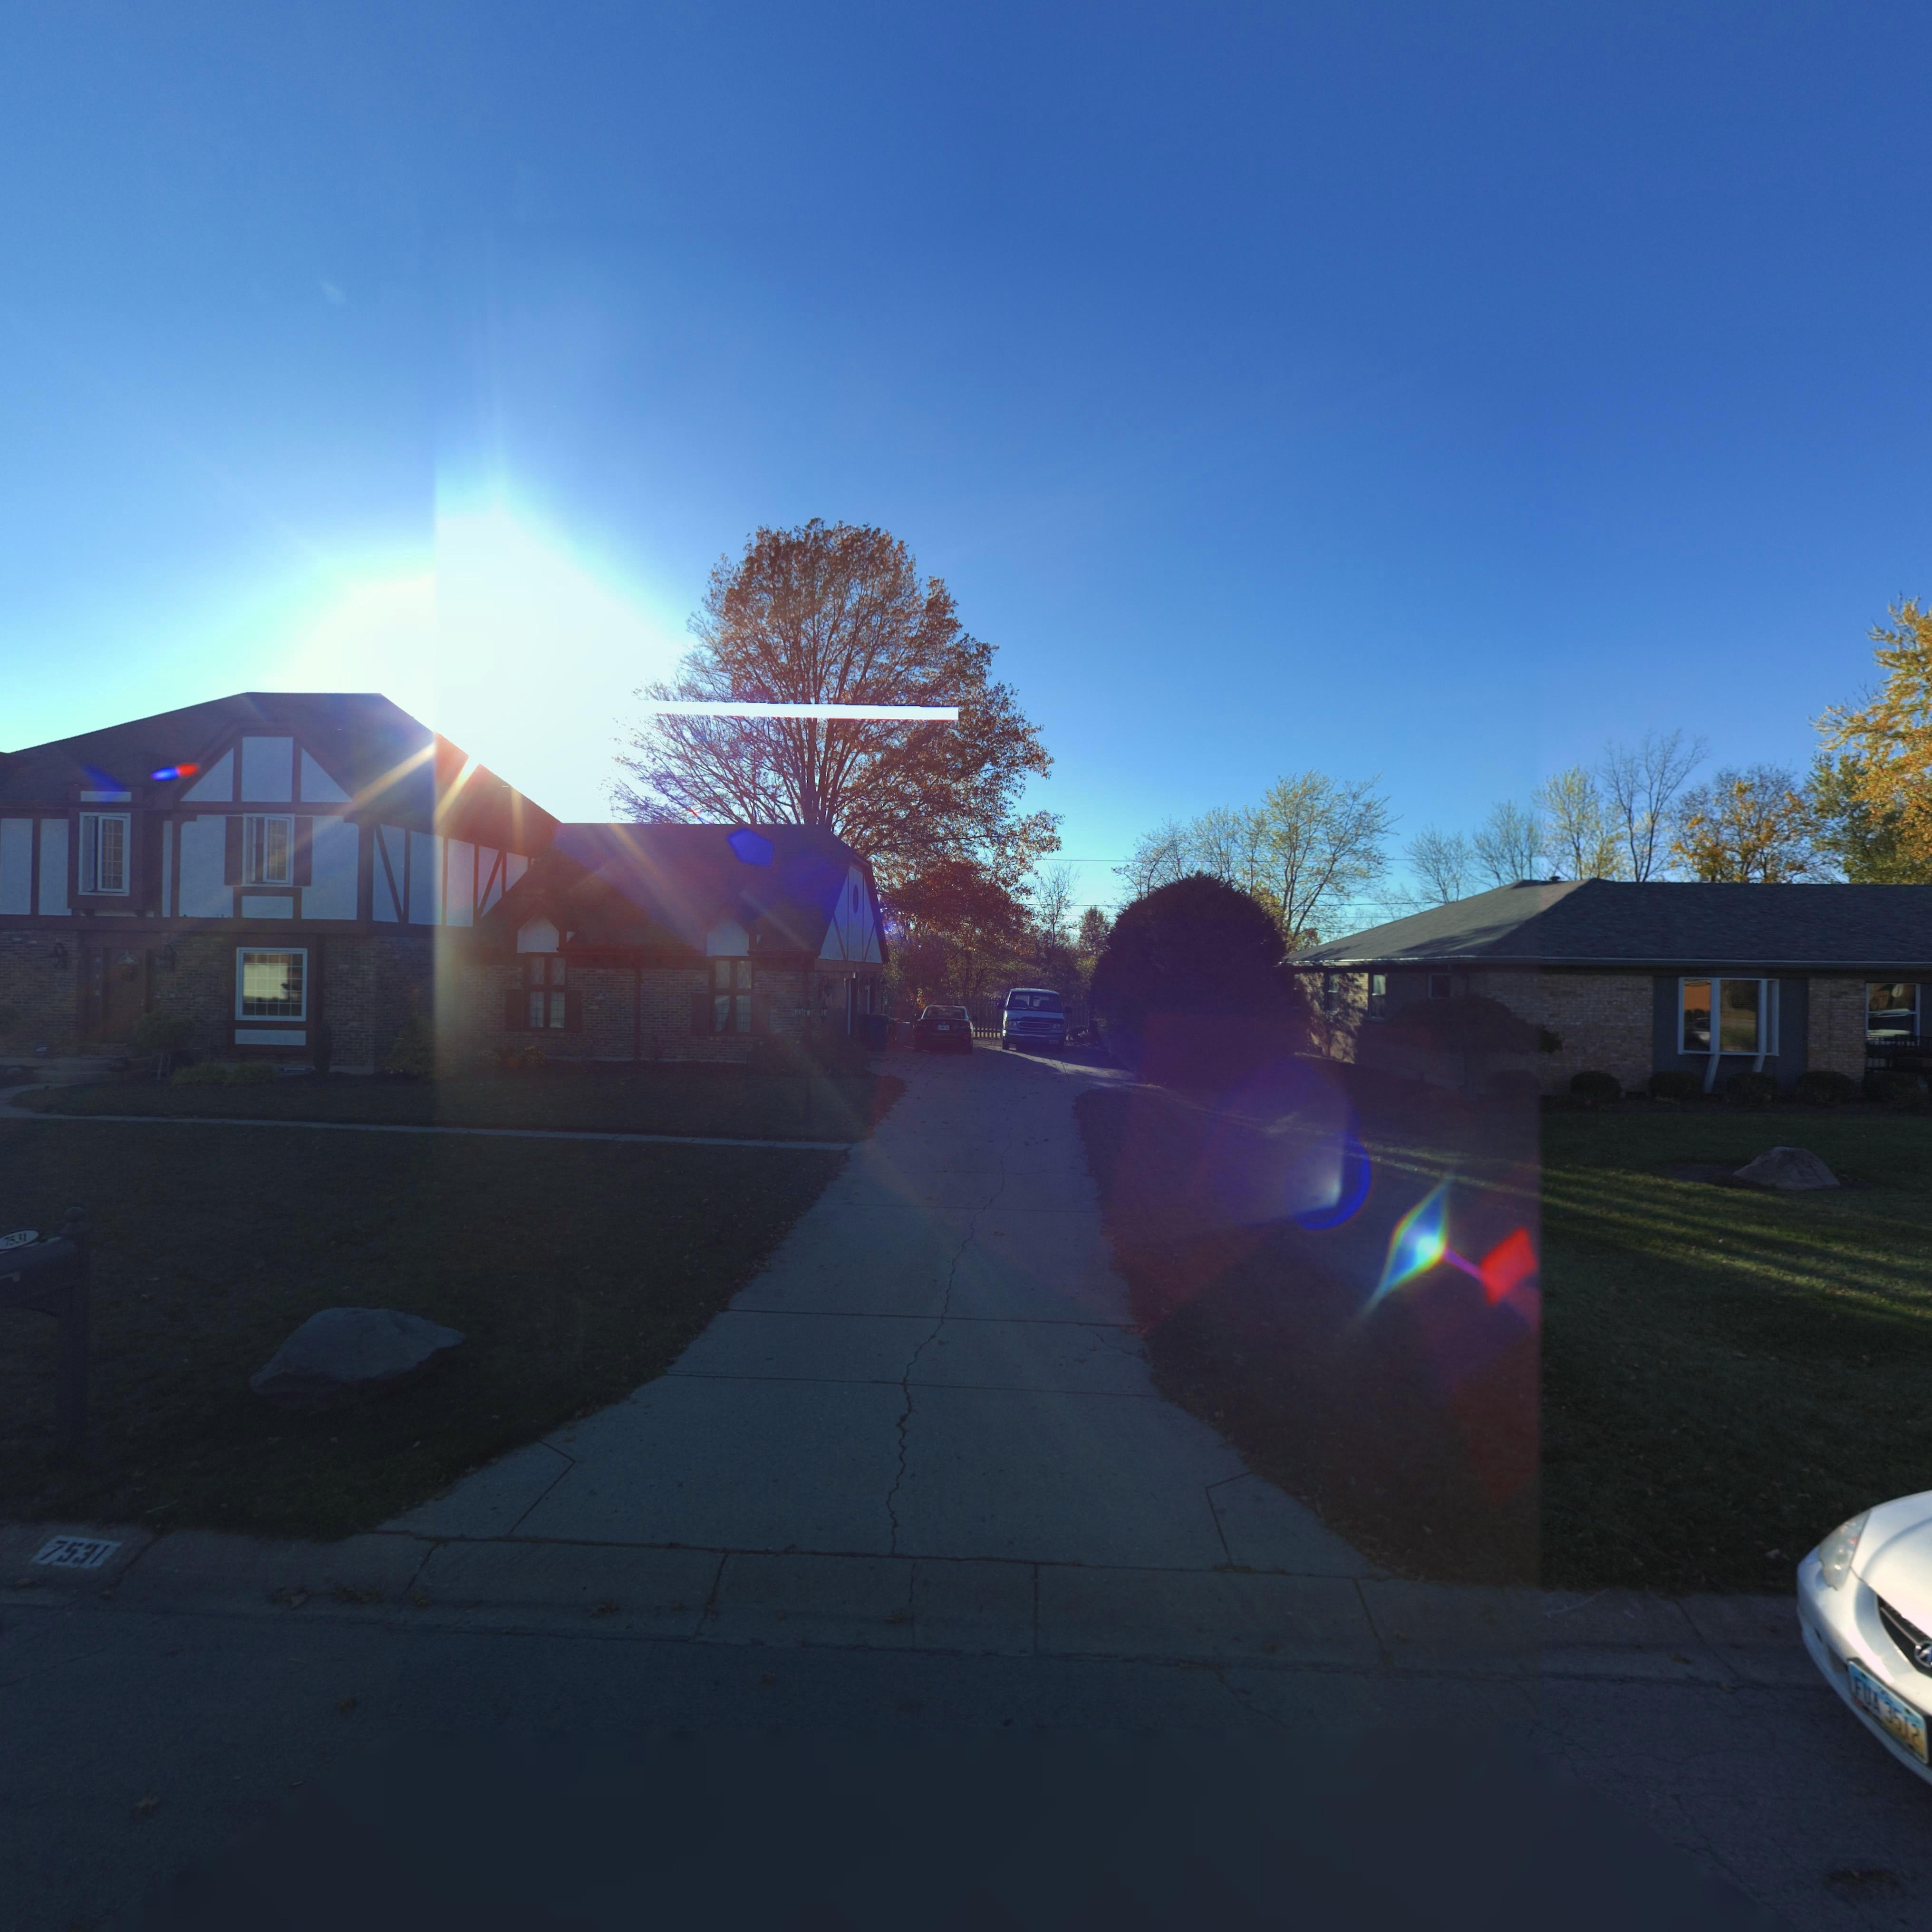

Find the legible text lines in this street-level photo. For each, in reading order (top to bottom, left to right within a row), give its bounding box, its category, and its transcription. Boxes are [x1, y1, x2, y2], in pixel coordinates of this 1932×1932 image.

[36, 1538, 114, 1565] StreetNumber: 7531